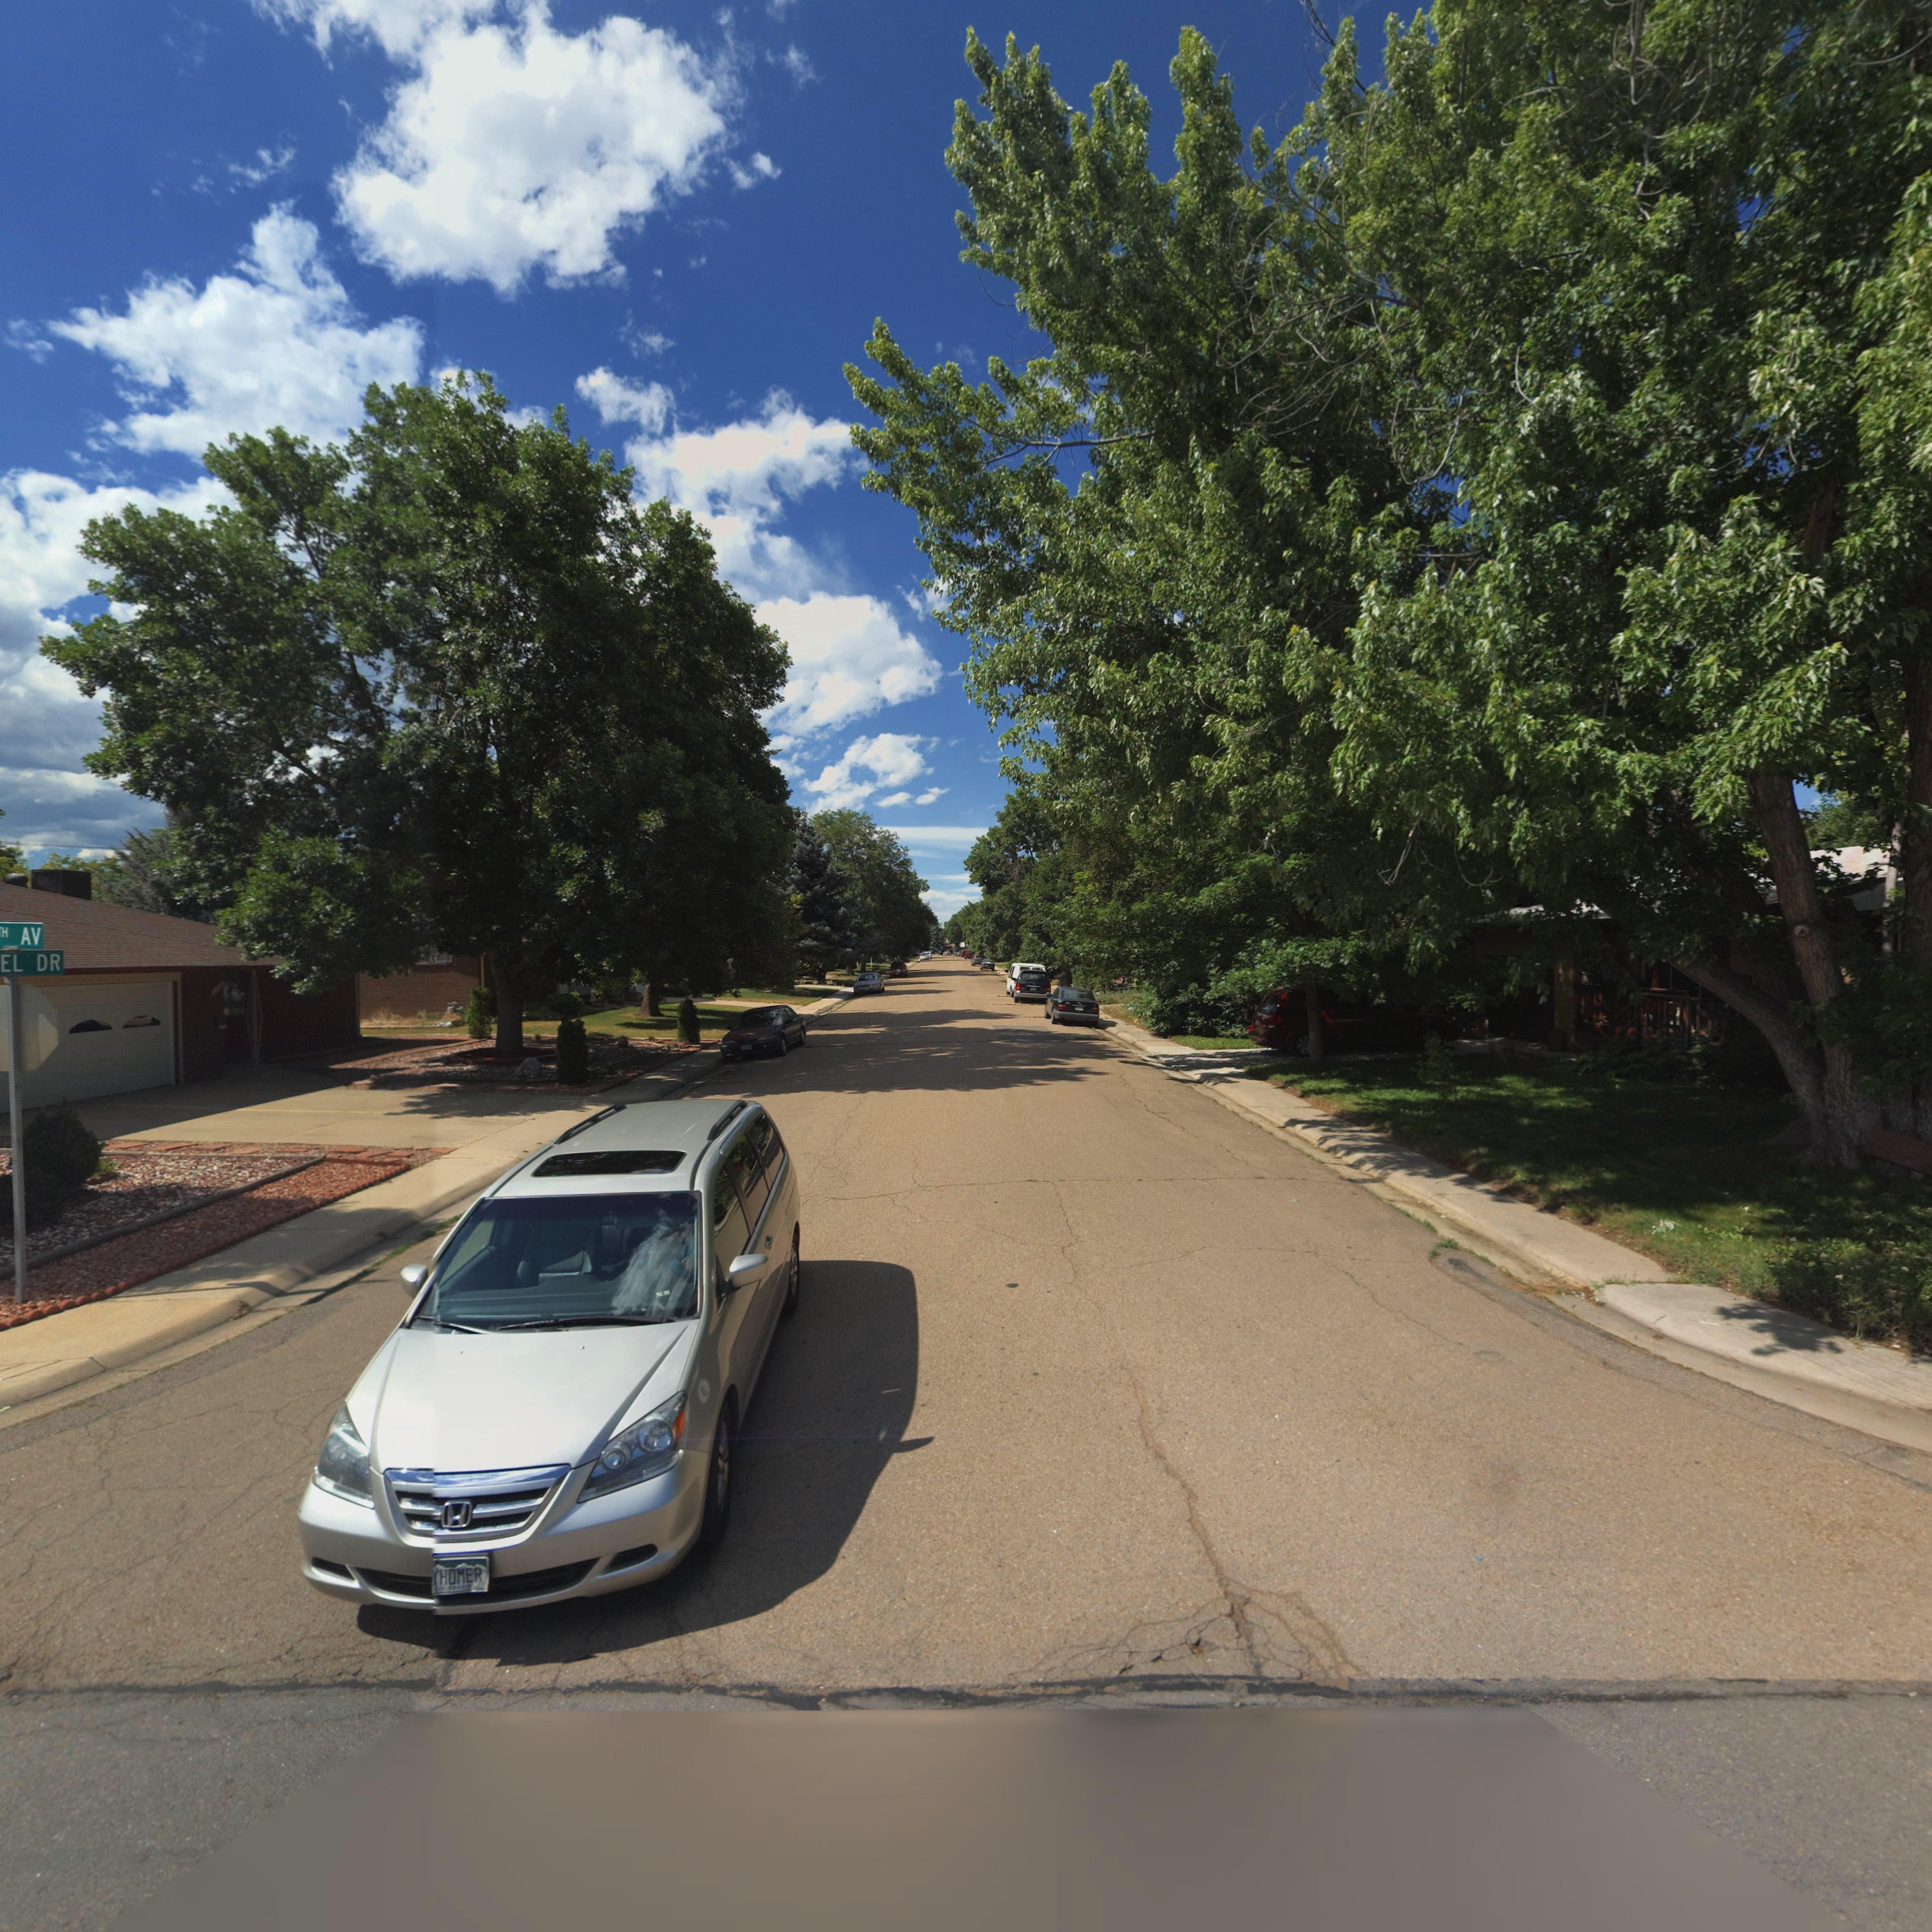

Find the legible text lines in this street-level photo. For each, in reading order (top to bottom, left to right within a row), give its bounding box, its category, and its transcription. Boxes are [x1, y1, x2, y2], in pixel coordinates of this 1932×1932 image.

[1, 927, 41, 946] StreetName: H AV
[1, 953, 64, 973] StreetName: EL DR